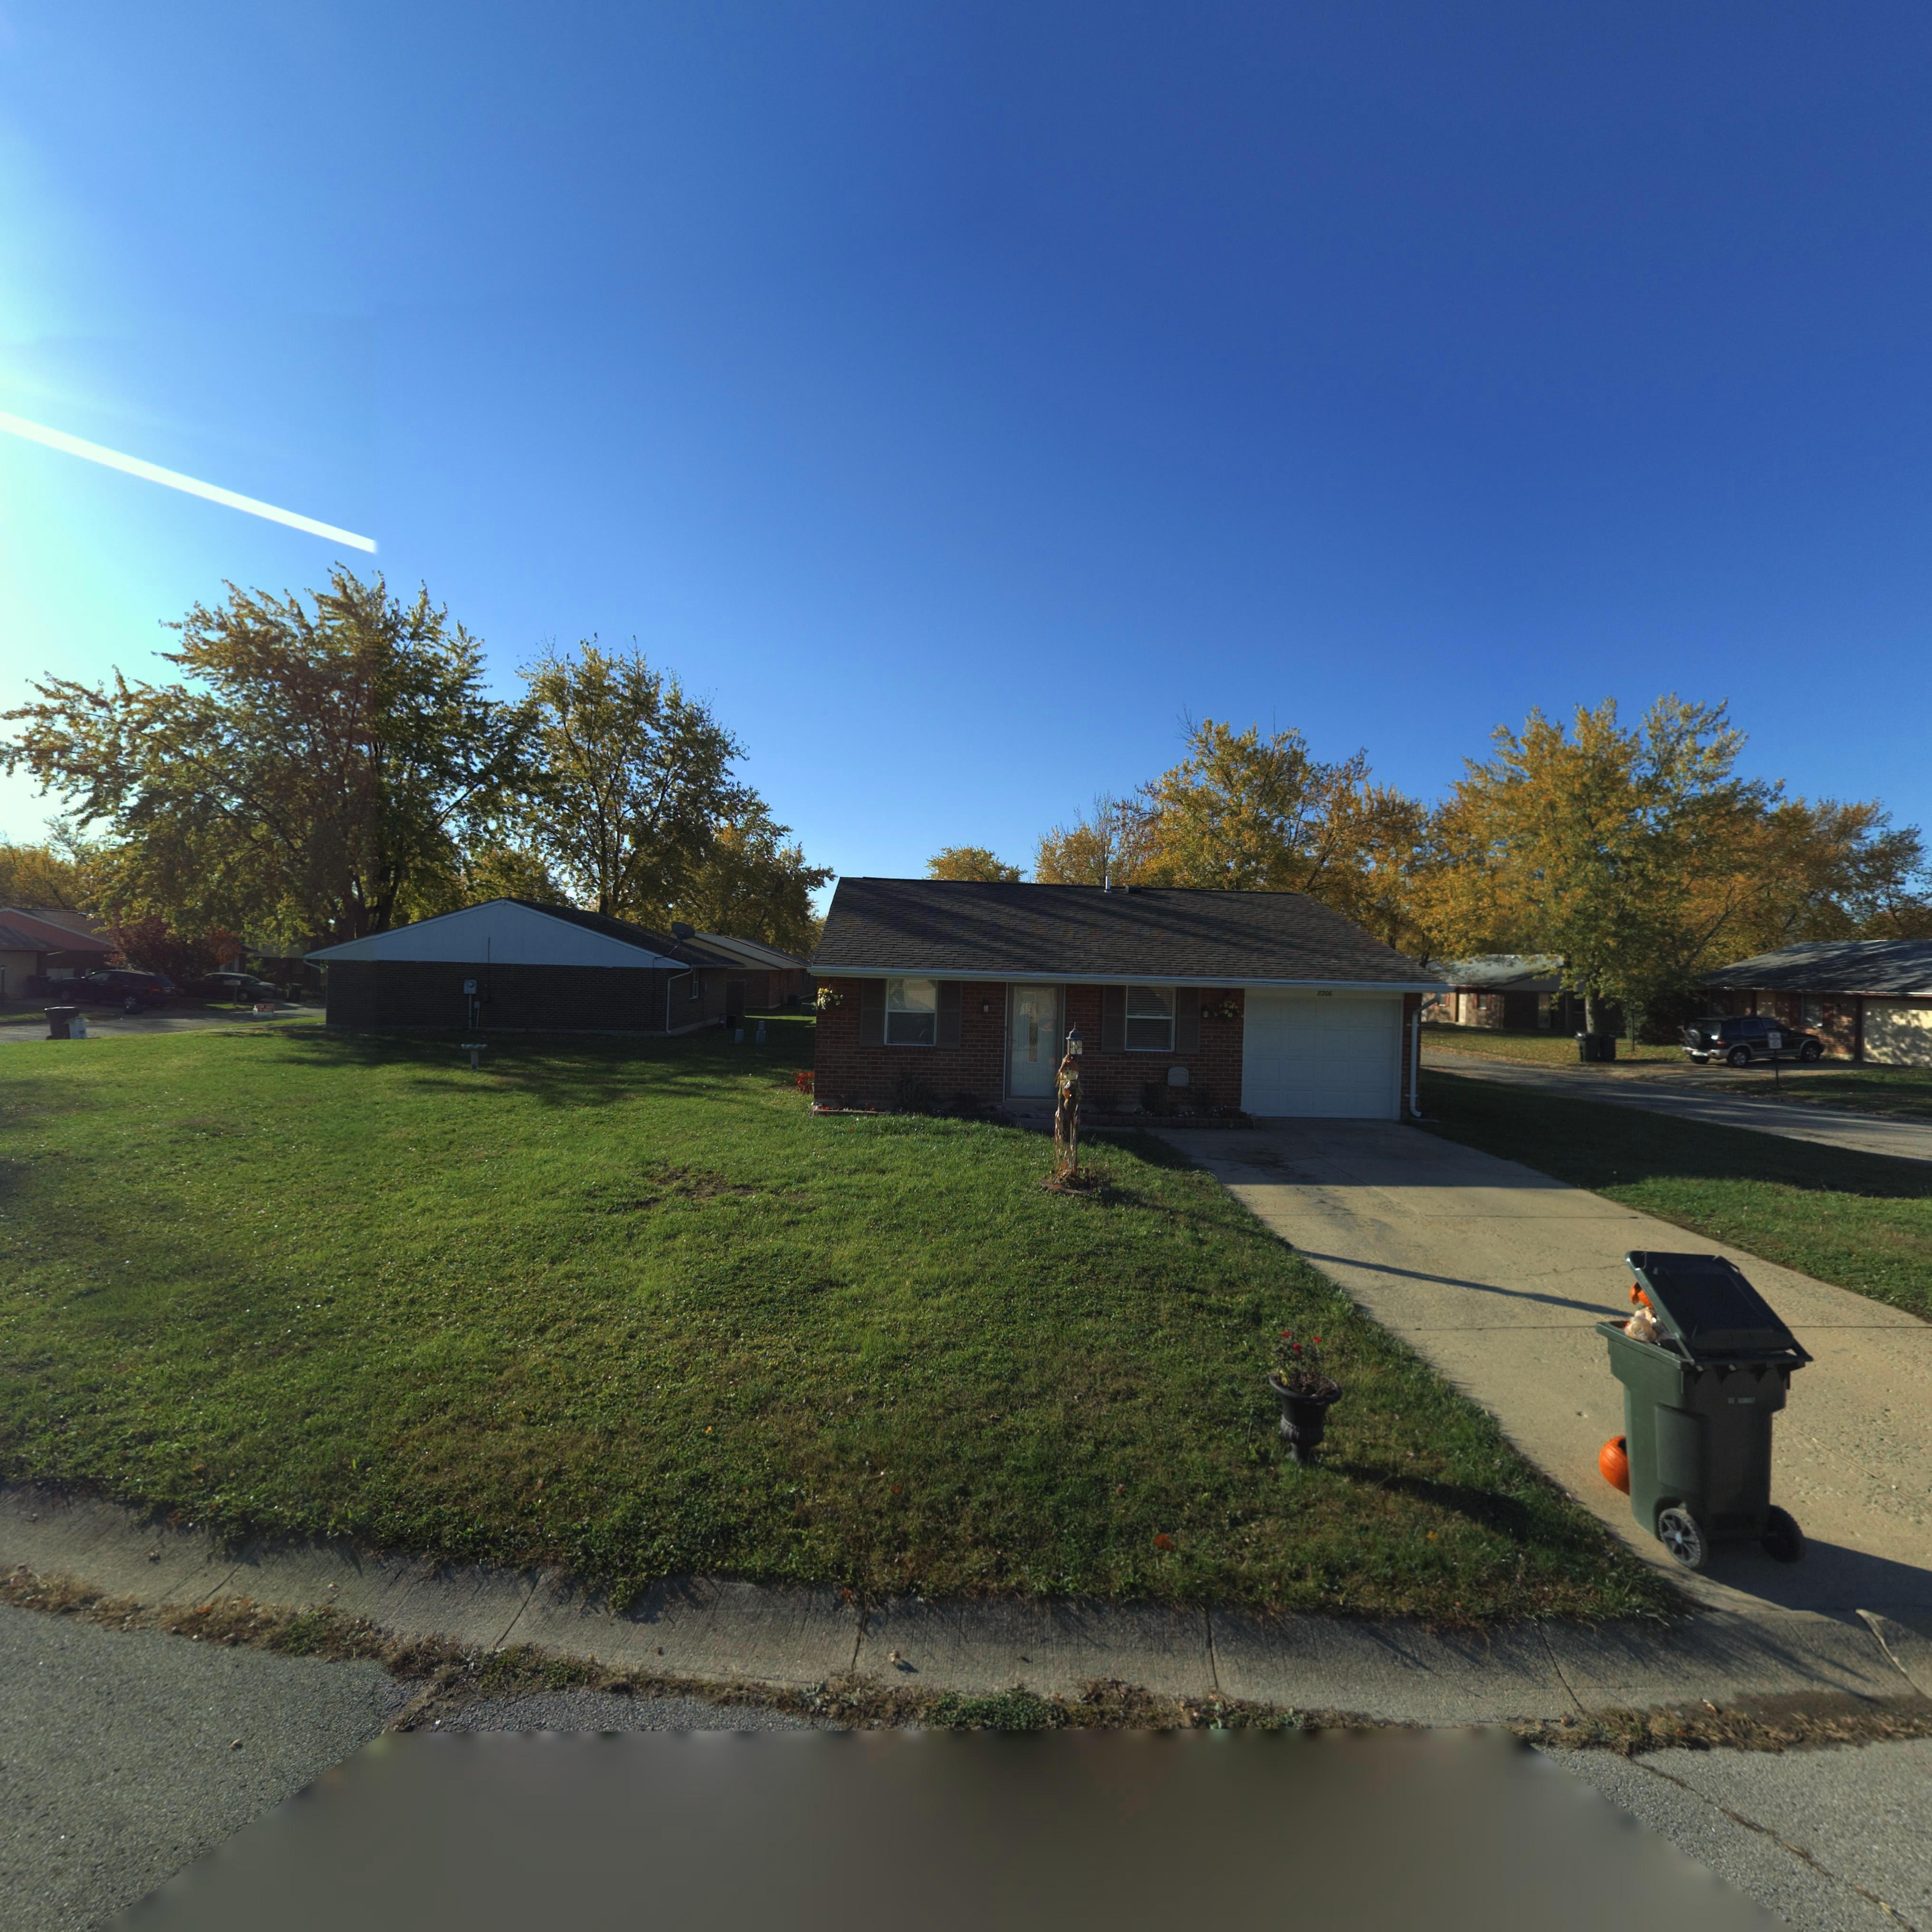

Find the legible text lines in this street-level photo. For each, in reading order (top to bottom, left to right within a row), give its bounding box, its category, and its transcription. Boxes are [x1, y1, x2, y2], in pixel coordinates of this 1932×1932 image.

[1316, 990, 1333, 996] StreetNumber: 8206